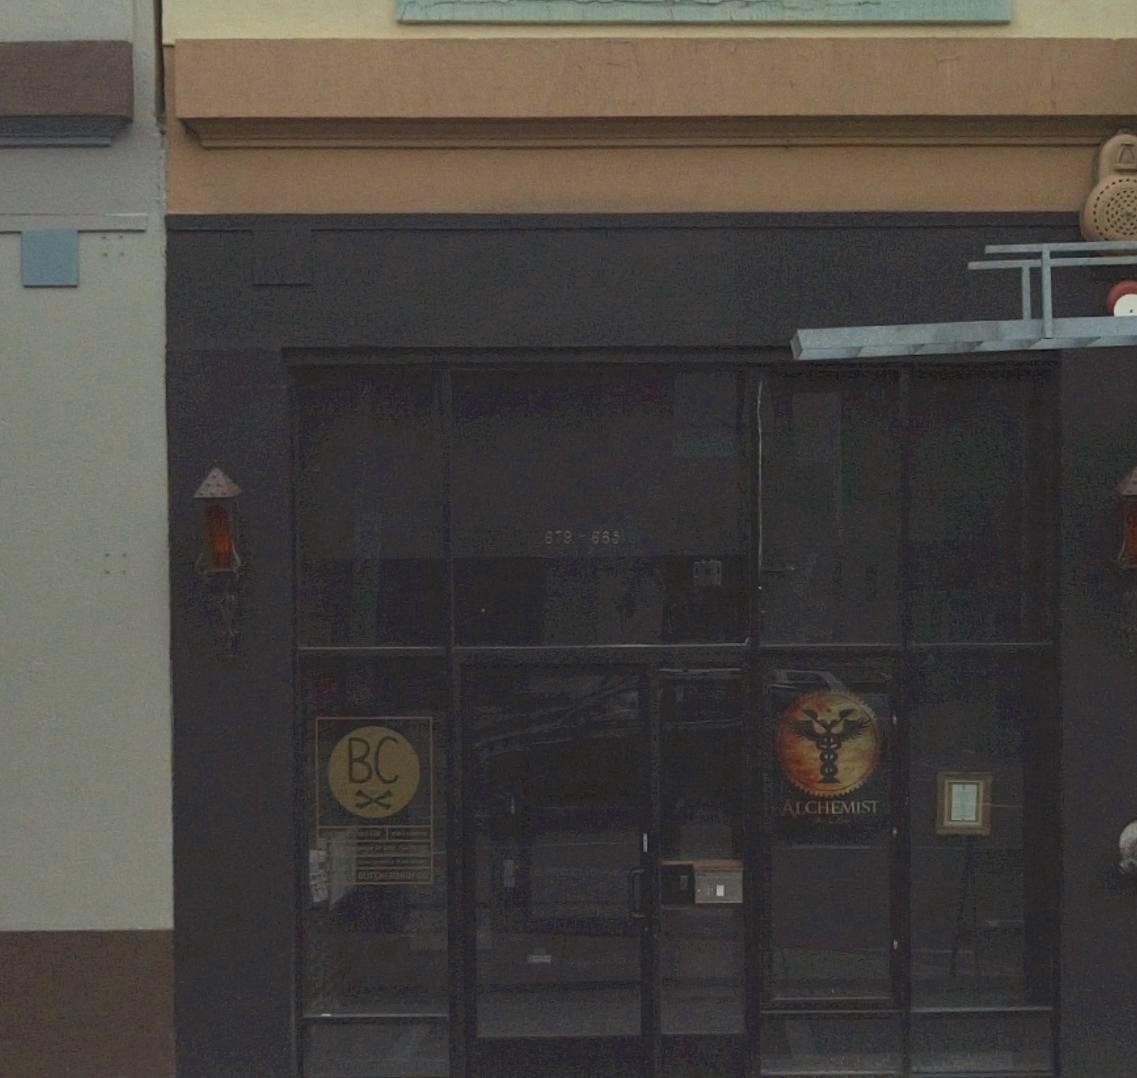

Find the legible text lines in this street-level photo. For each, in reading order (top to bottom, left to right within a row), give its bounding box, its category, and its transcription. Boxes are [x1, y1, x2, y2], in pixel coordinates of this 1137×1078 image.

[543, 527, 573, 547] StreetNumber: 679
[590, 528, 621, 547] StreetNumber: 685
[346, 734, 401, 785] None: BC
[779, 797, 880, 819] None: ALCHEMIST